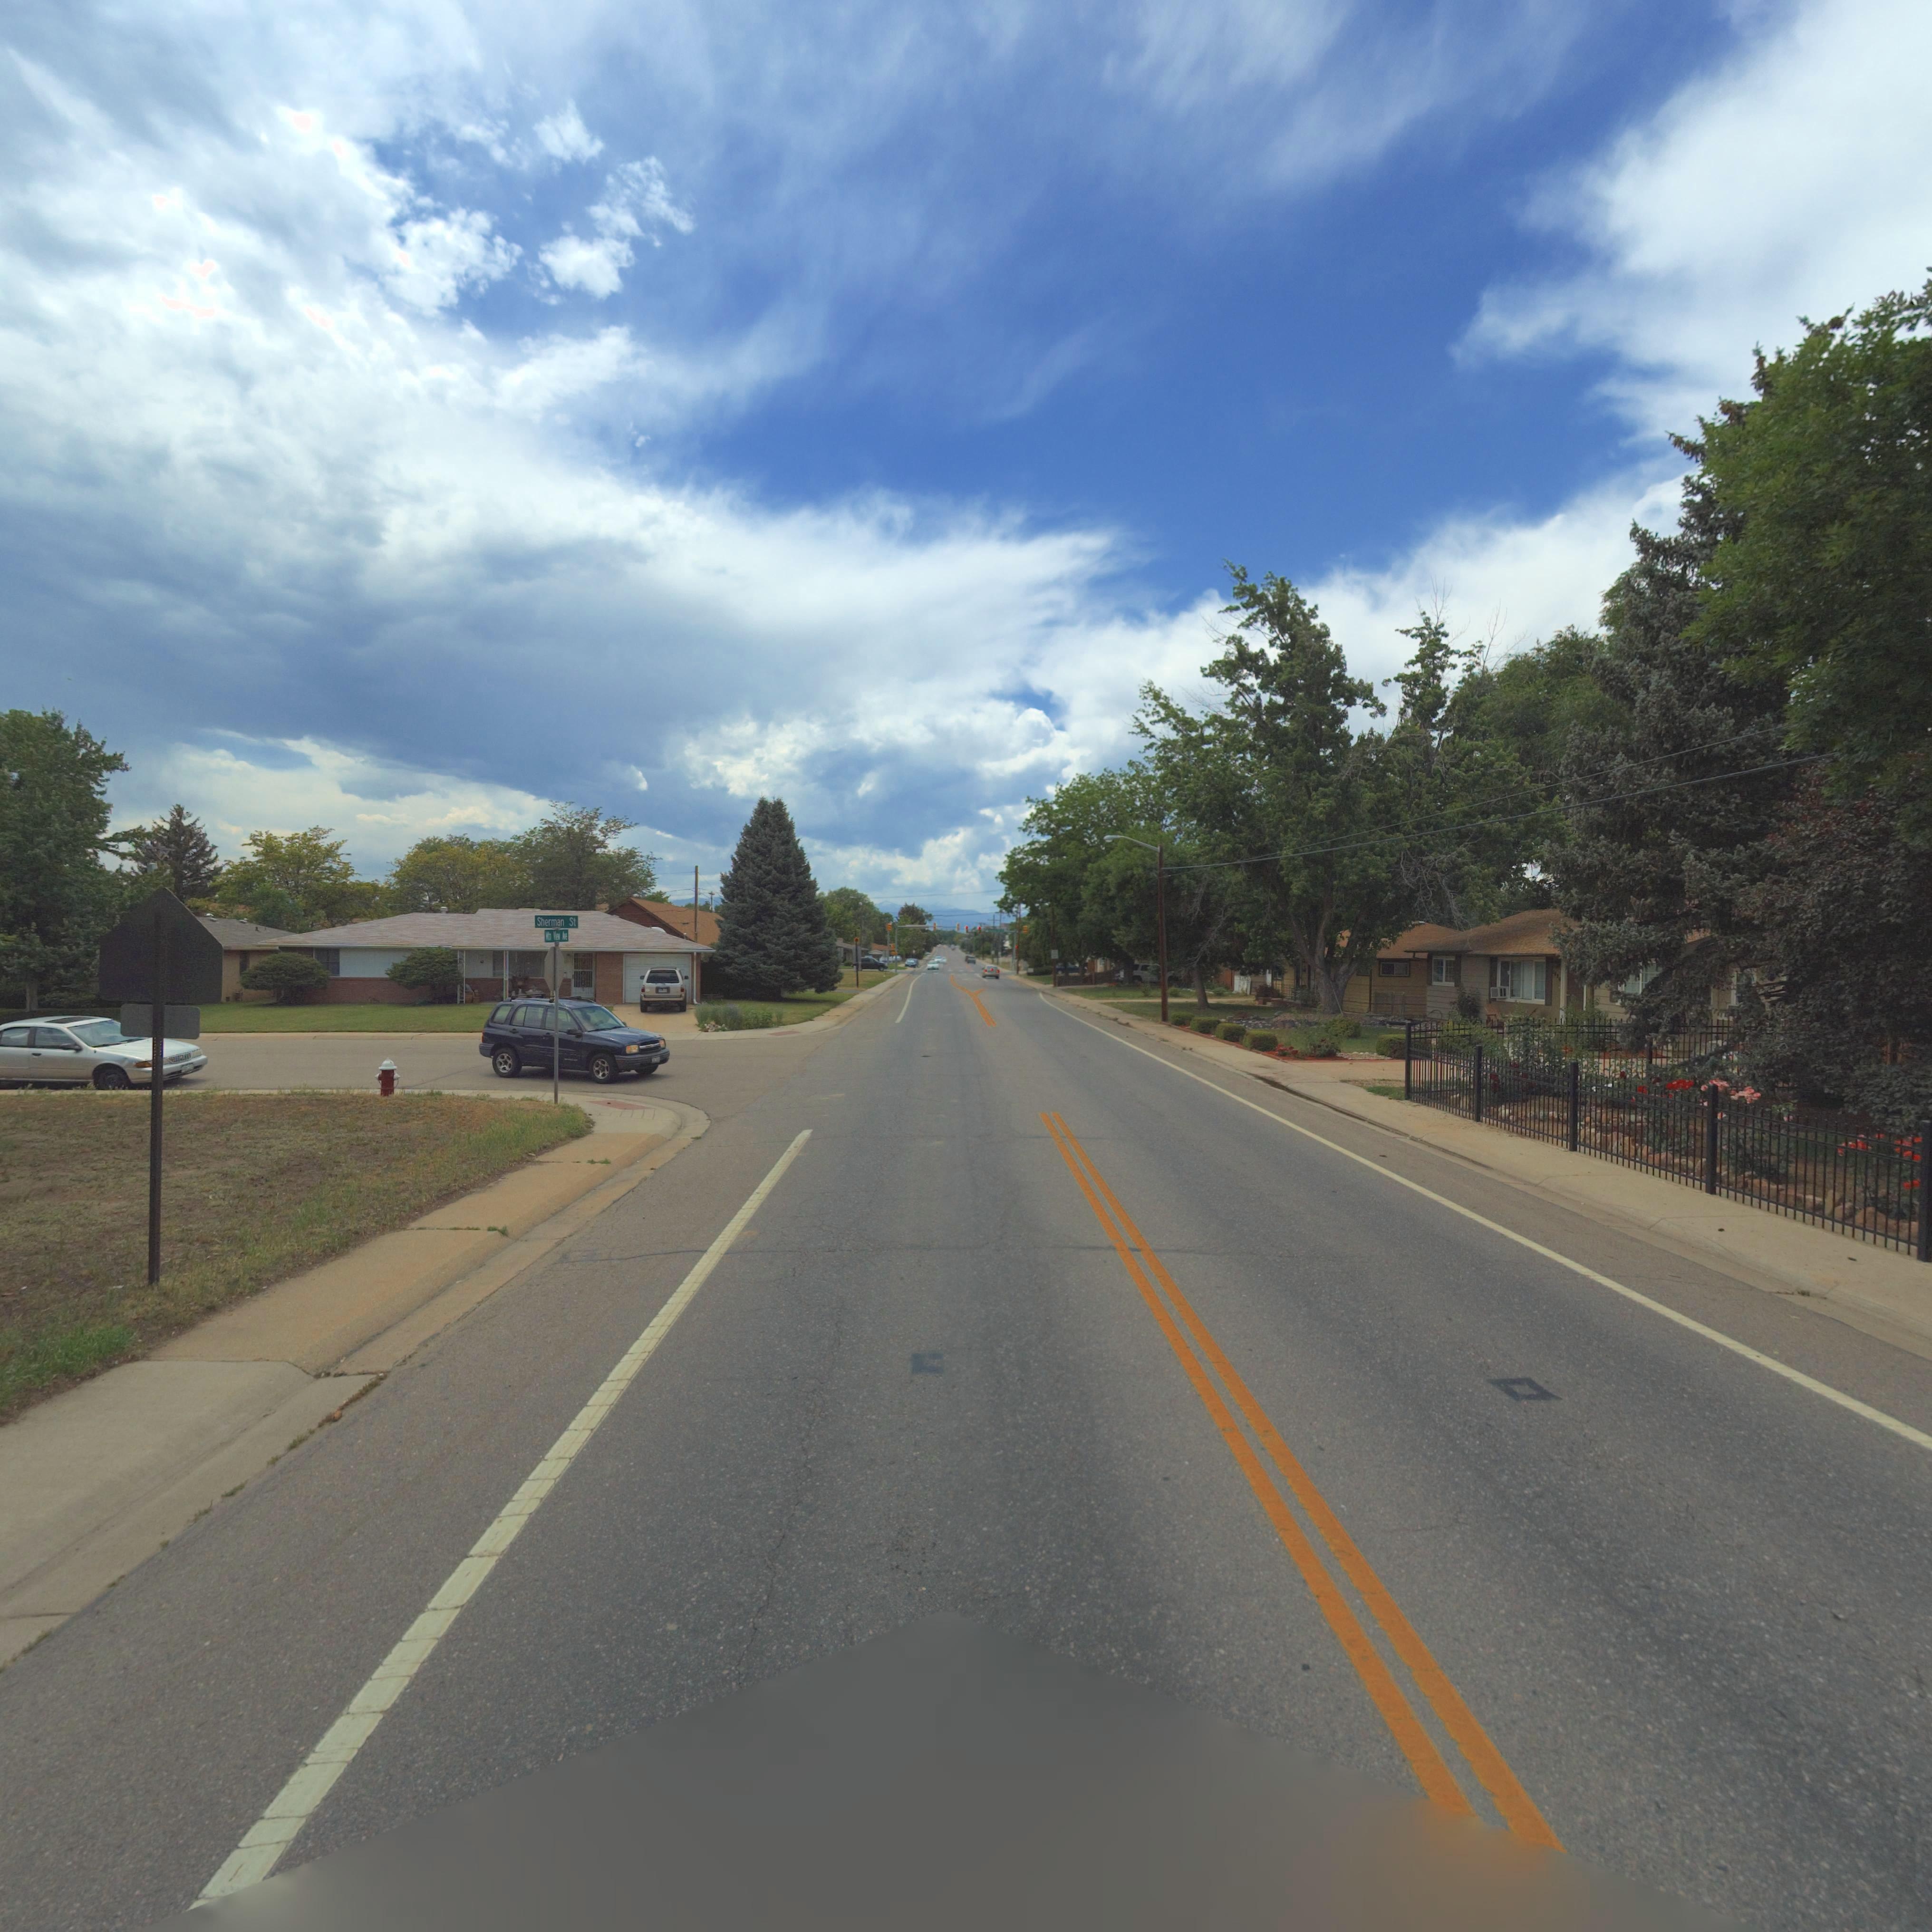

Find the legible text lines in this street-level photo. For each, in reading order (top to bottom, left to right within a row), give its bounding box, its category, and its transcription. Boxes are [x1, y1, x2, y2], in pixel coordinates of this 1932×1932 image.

[537, 917, 577, 926] StreetName: Sherman St
[545, 930, 567, 940] StreetName: *** V*e* **e